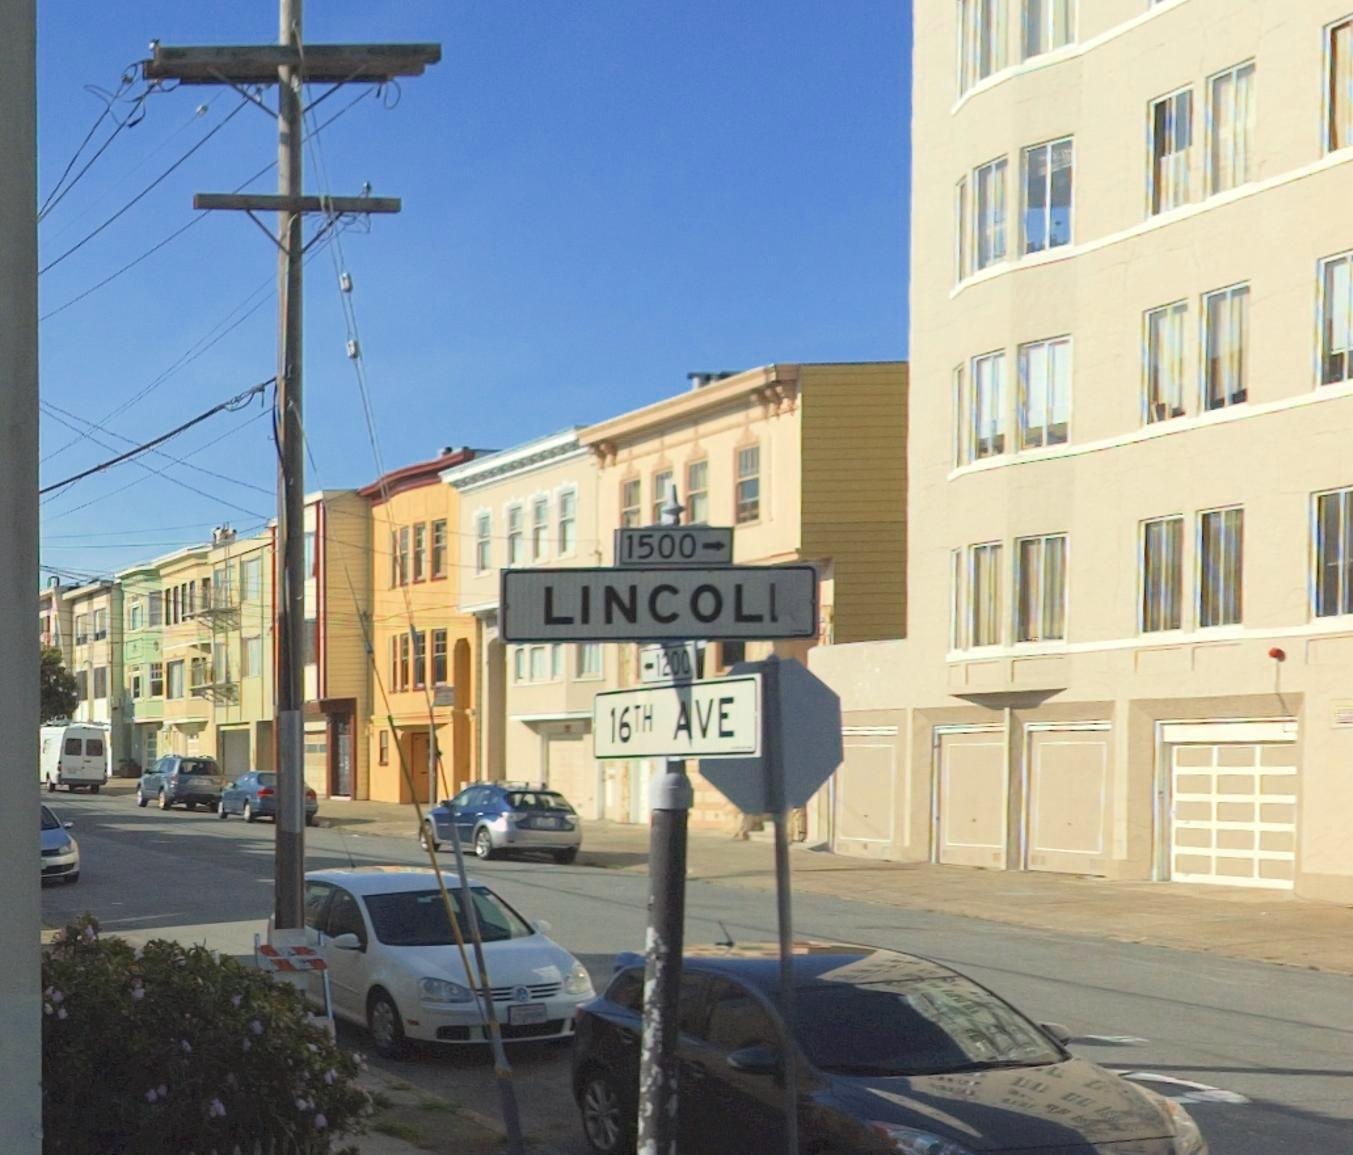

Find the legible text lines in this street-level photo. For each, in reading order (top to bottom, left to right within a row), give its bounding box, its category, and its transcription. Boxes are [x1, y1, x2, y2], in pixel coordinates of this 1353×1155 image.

[622, 529, 726, 560] StreetNumberRange: 1500->
[539, 578, 783, 623] StreetName: LINCOL*
[639, 647, 693, 680] StreetNumberRange: <-1200
[607, 695, 737, 743] StreetName: 16TH AVE